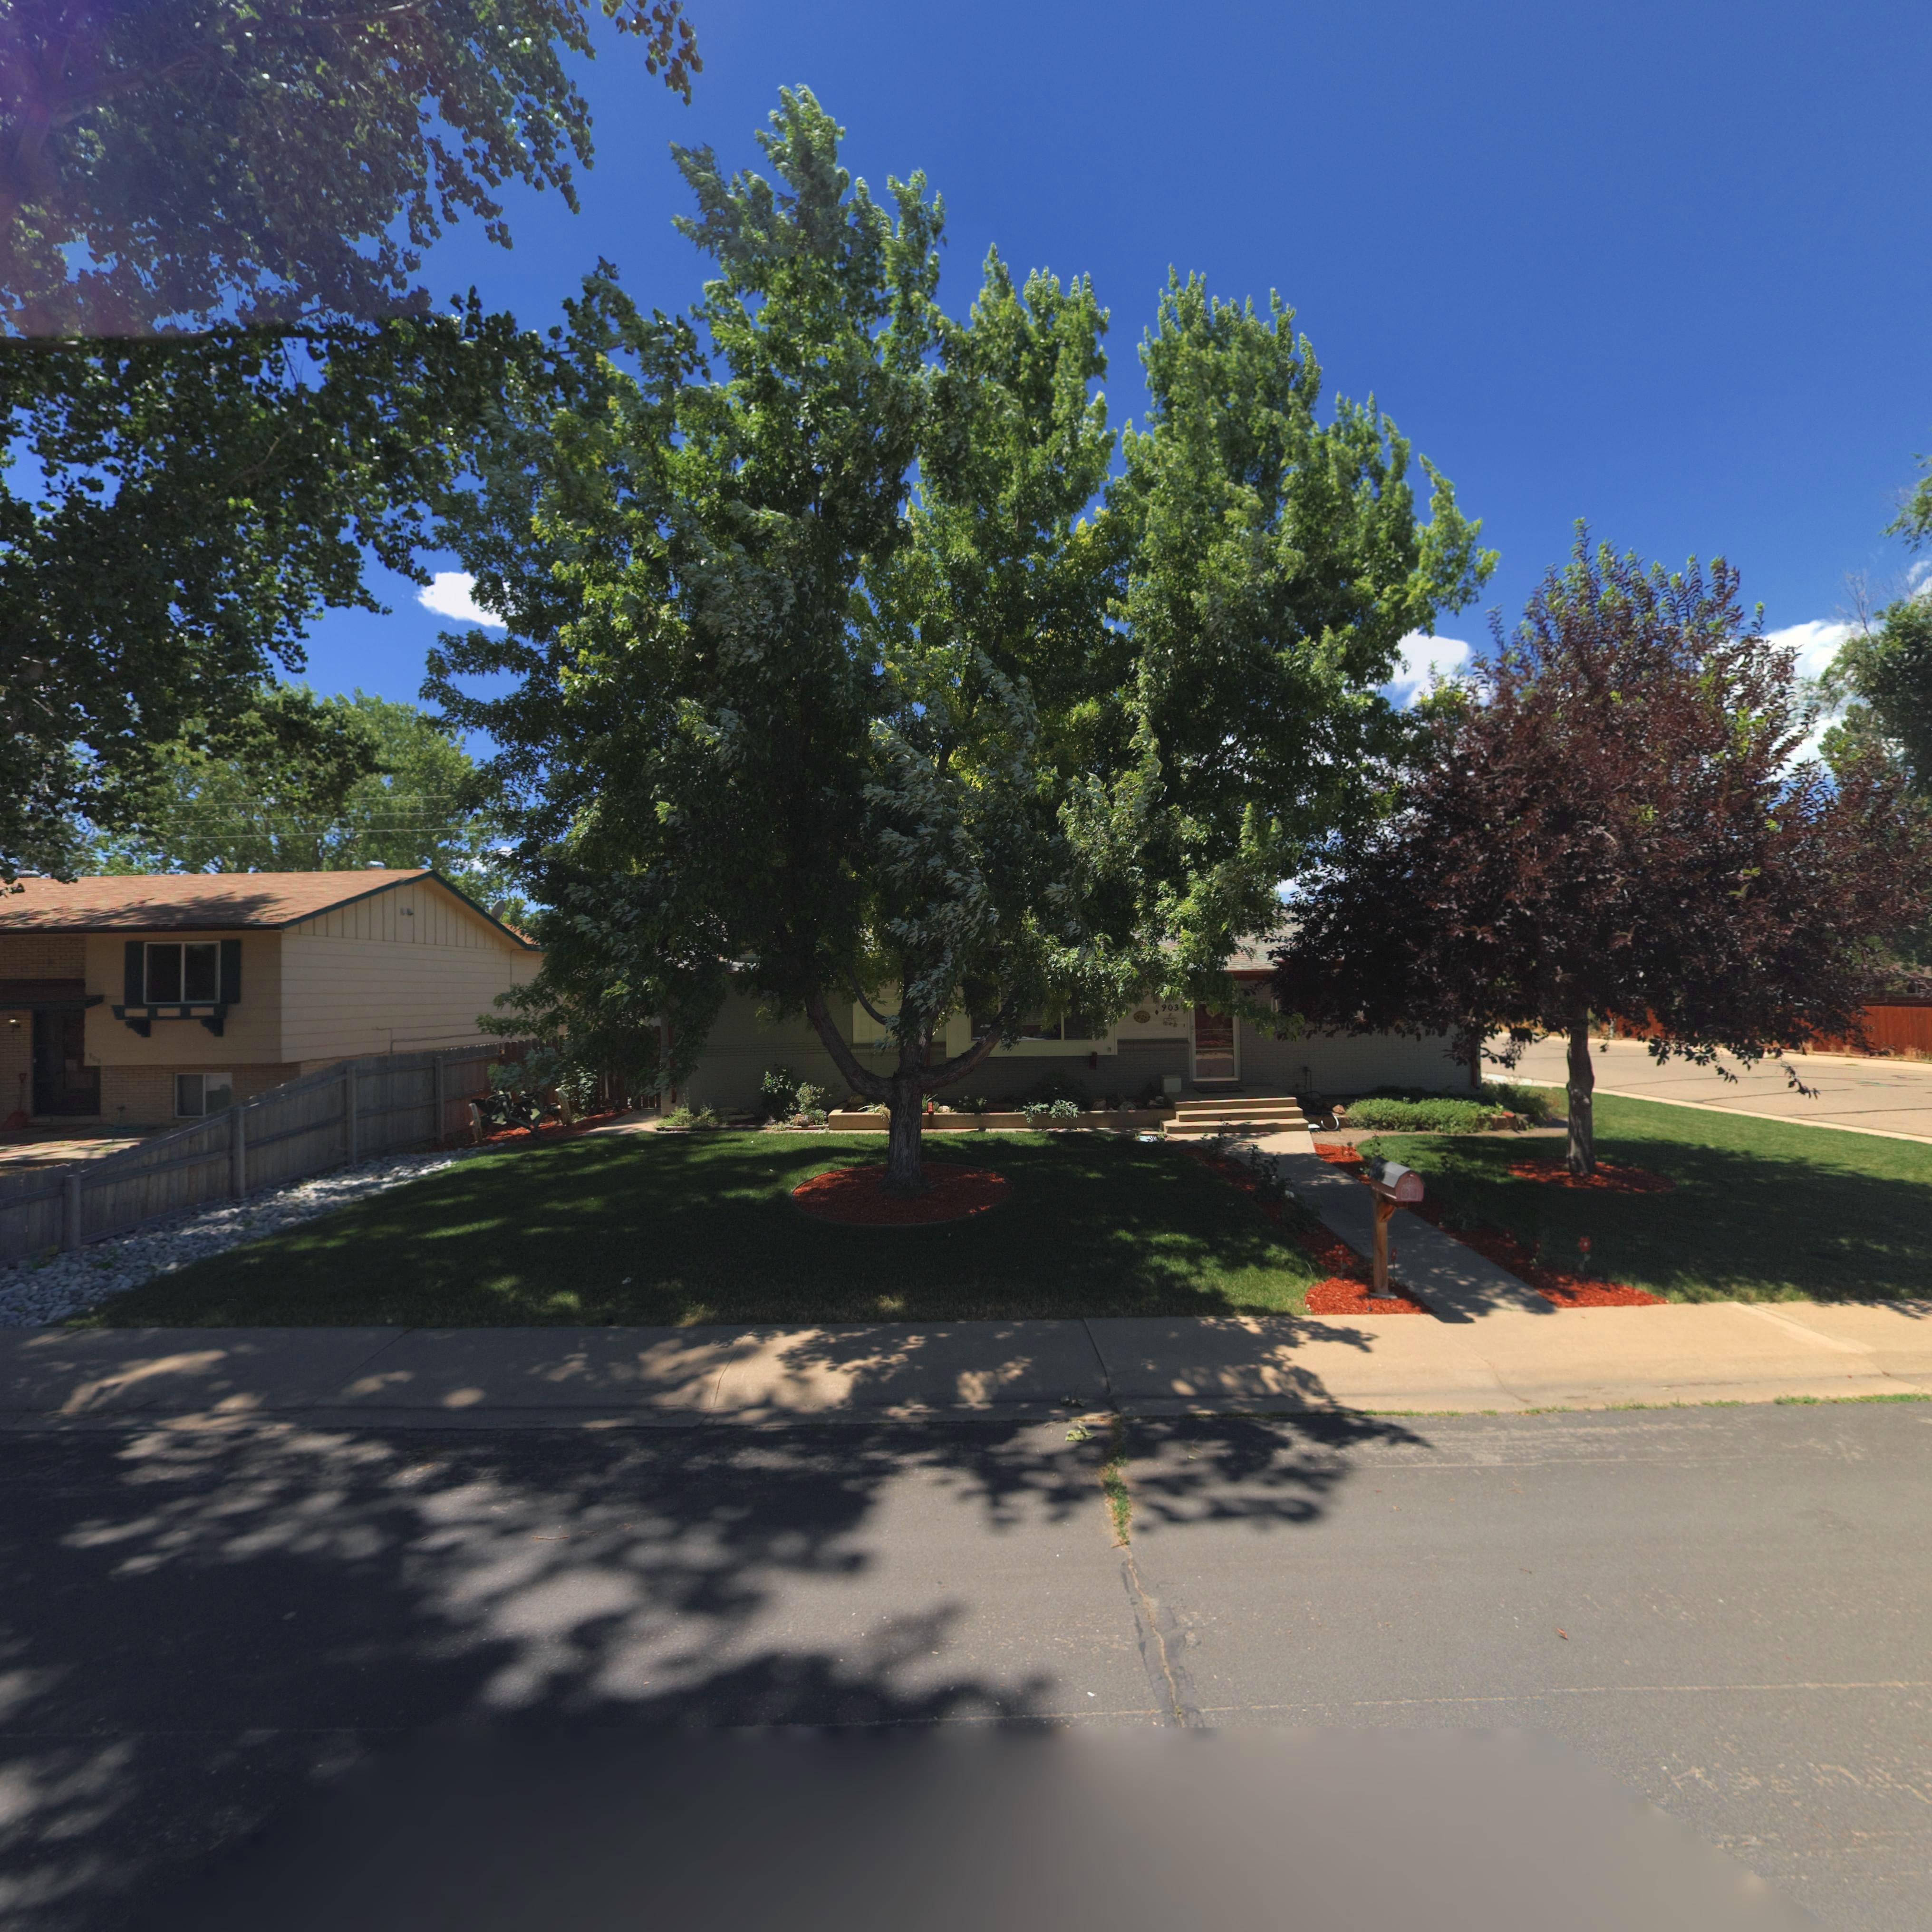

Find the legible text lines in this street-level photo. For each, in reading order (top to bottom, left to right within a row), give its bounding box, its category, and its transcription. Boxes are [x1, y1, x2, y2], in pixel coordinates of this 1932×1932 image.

[1161, 1003, 1179, 1011] StreetNumber: 903
[87, 1053, 101, 1064] StreetNumber: 90*